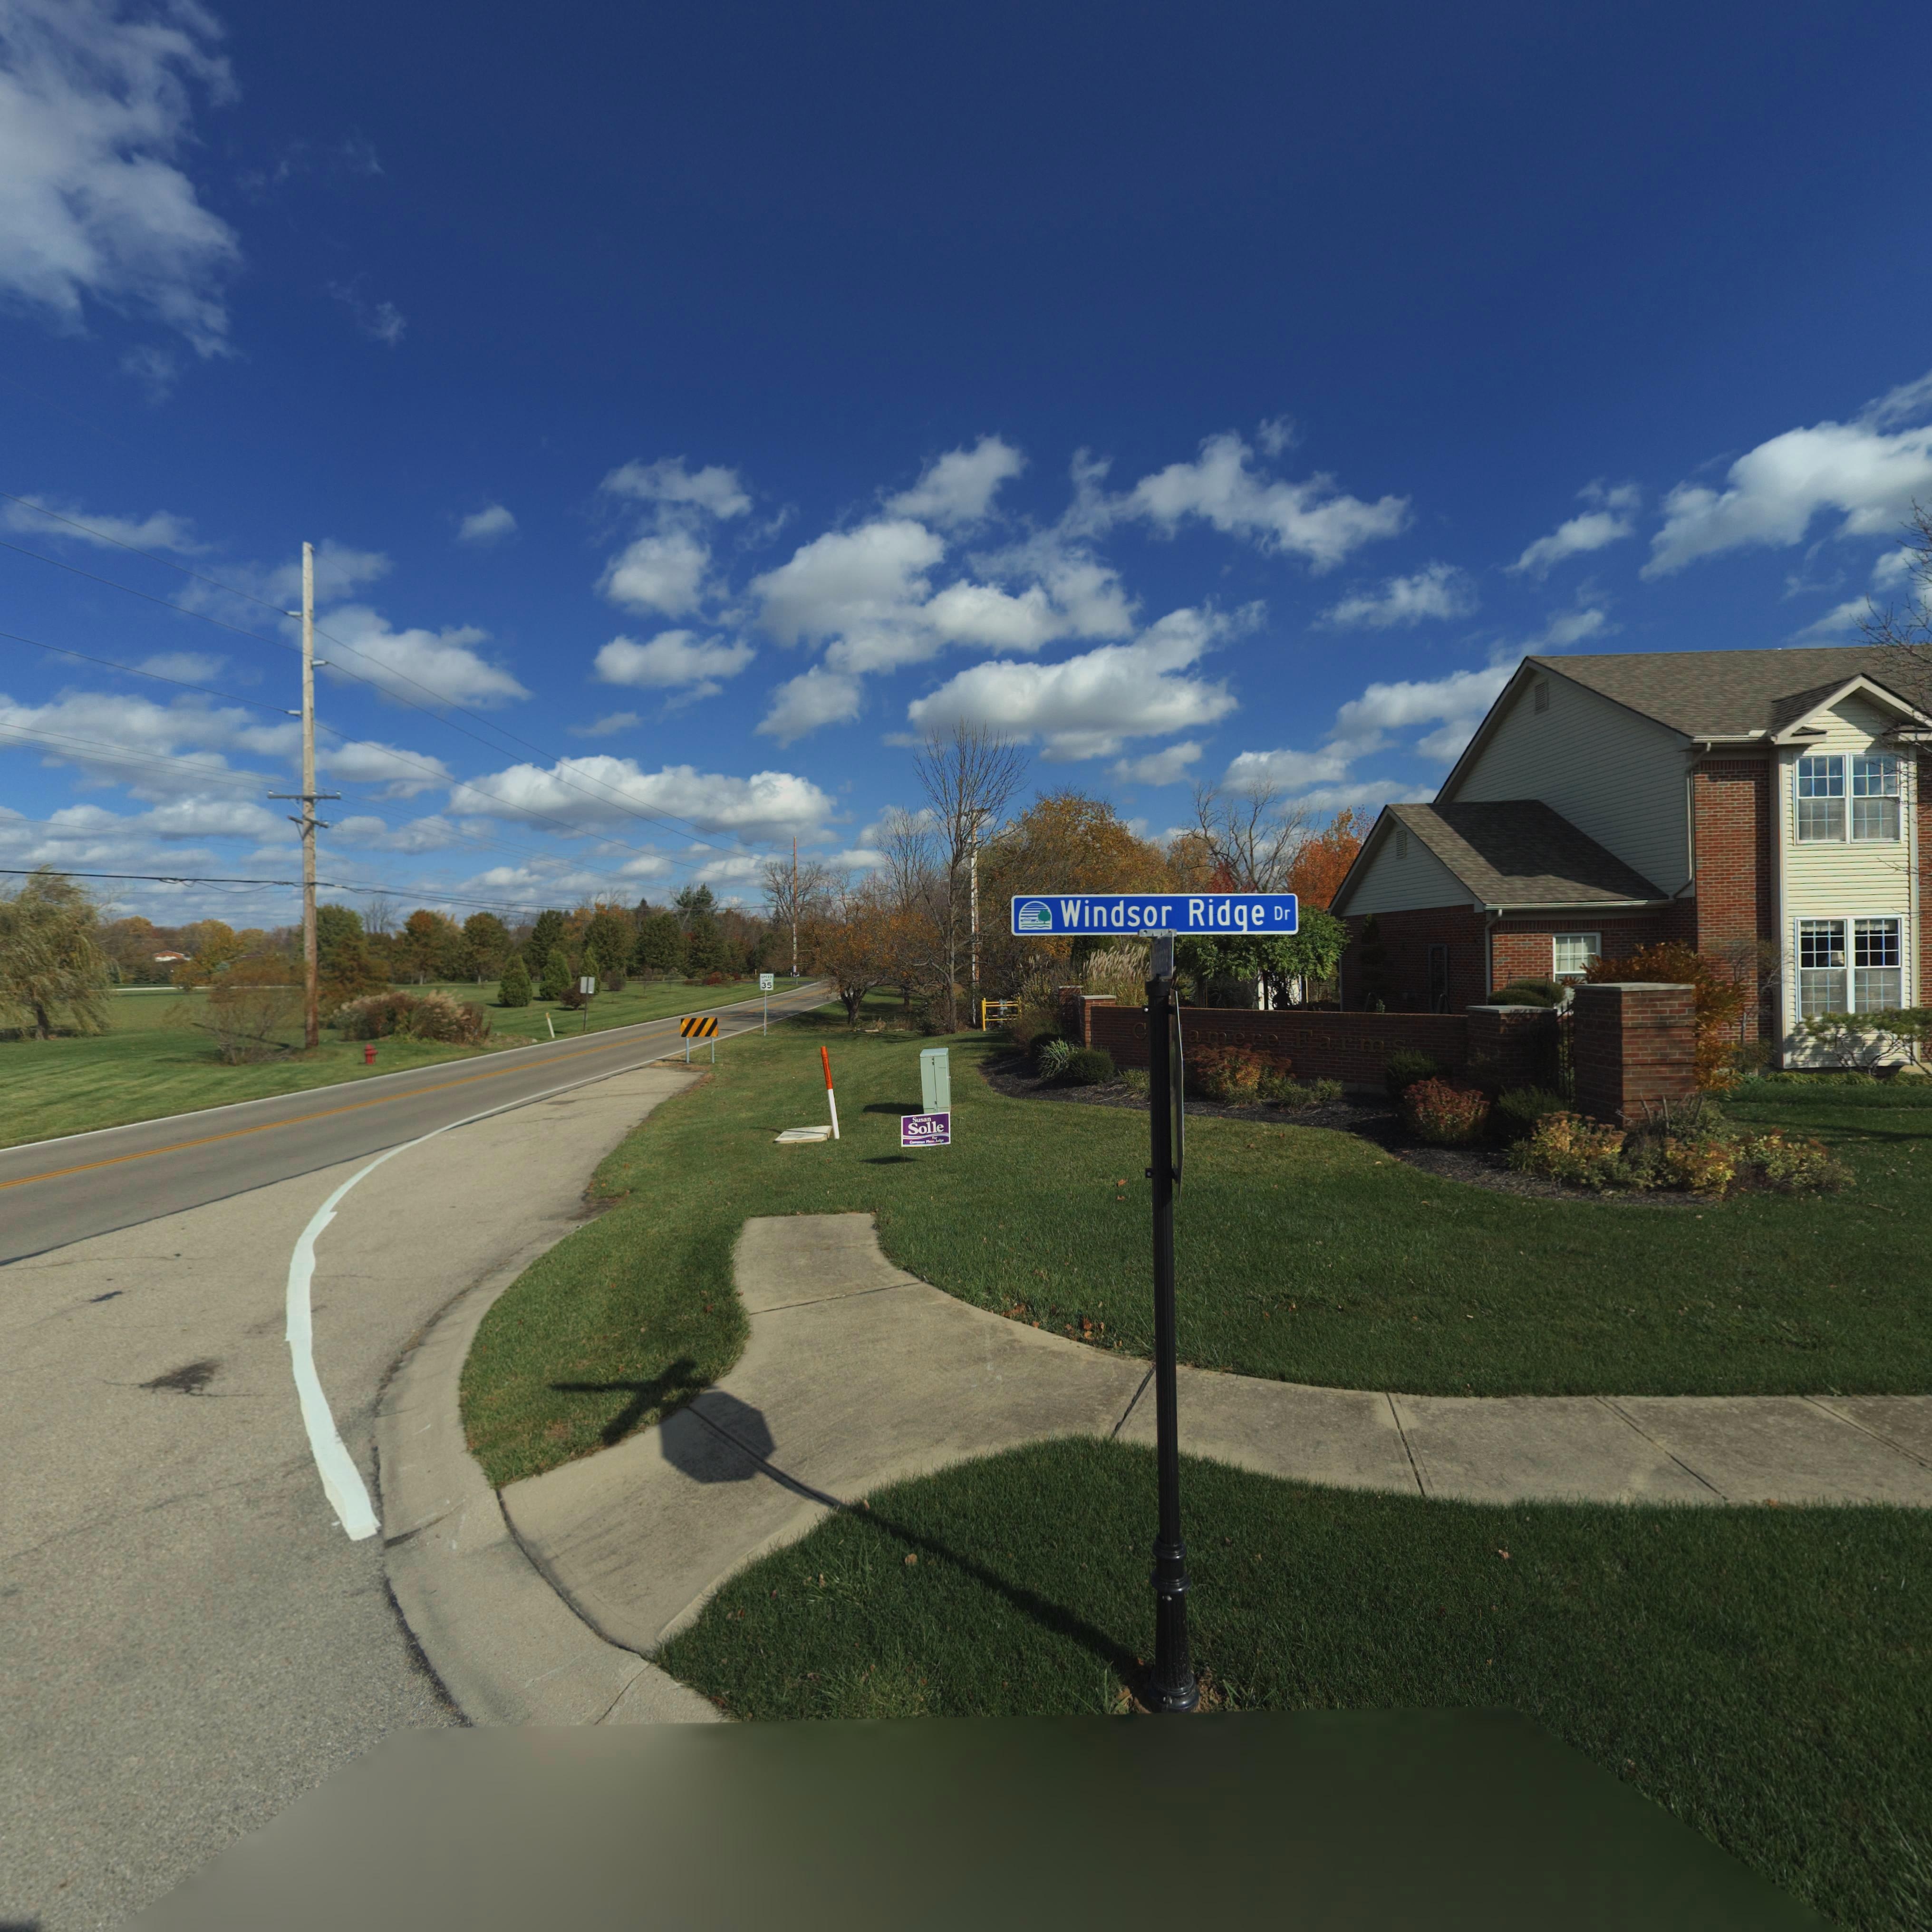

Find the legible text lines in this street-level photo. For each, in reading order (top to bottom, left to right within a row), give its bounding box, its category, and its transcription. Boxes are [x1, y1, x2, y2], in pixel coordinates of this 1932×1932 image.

[1059, 898, 1293, 933] StreetName: Windsor Ridge Dr